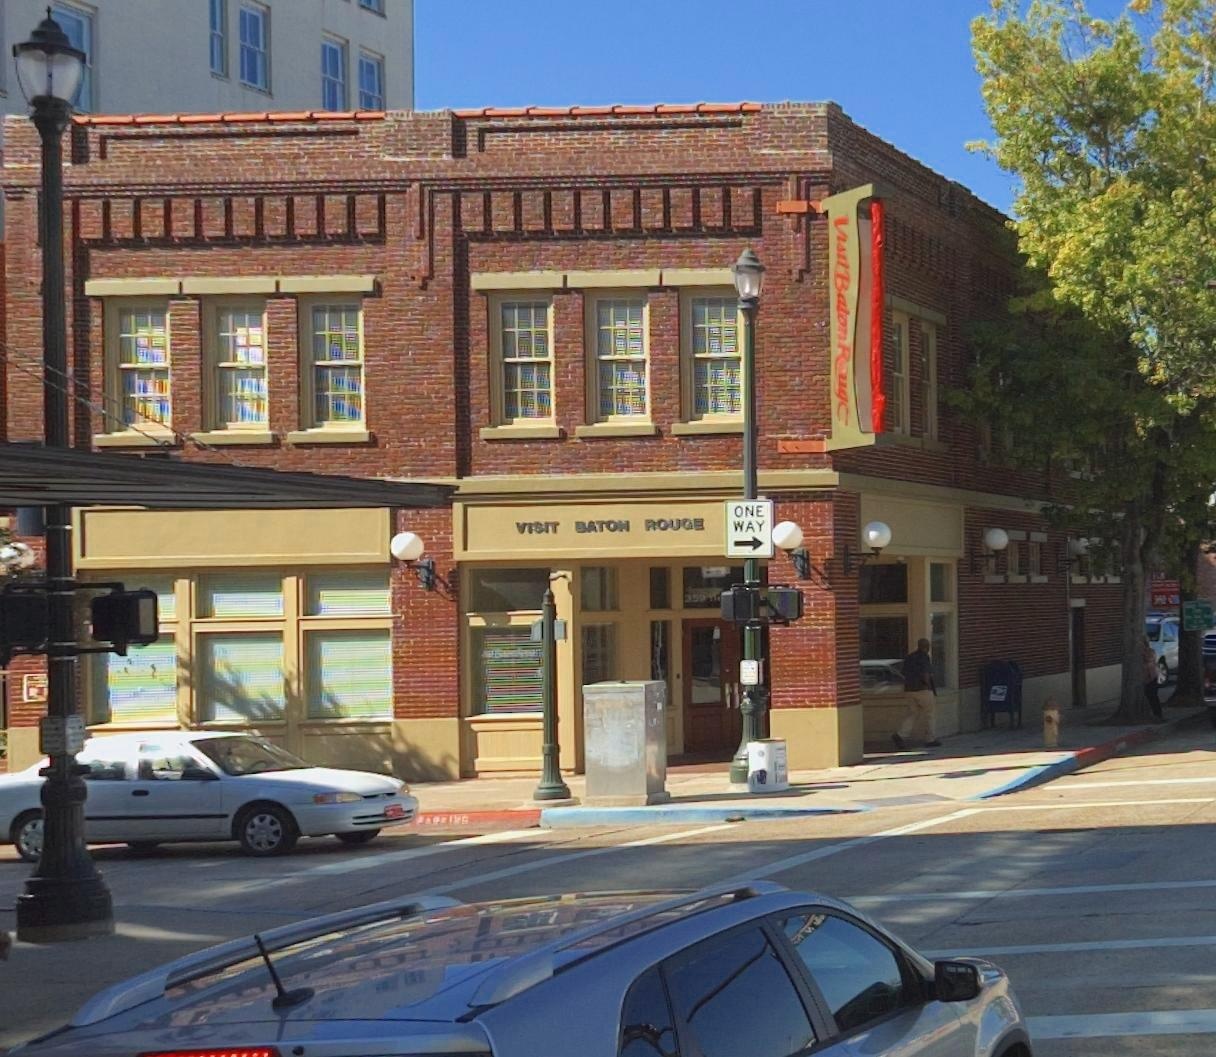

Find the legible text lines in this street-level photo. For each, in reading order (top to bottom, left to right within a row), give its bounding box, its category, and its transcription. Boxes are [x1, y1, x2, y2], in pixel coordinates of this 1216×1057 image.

[832, 210, 853, 430] BusinessName: V*** Ba** R*ug*
[731, 503, 766, 520] None: ONE
[511, 515, 708, 537] BusinessName: VISIT BATON ROUGE
[730, 518, 768, 535] None: WAY
[683, 591, 709, 606] StreetNumber: 359